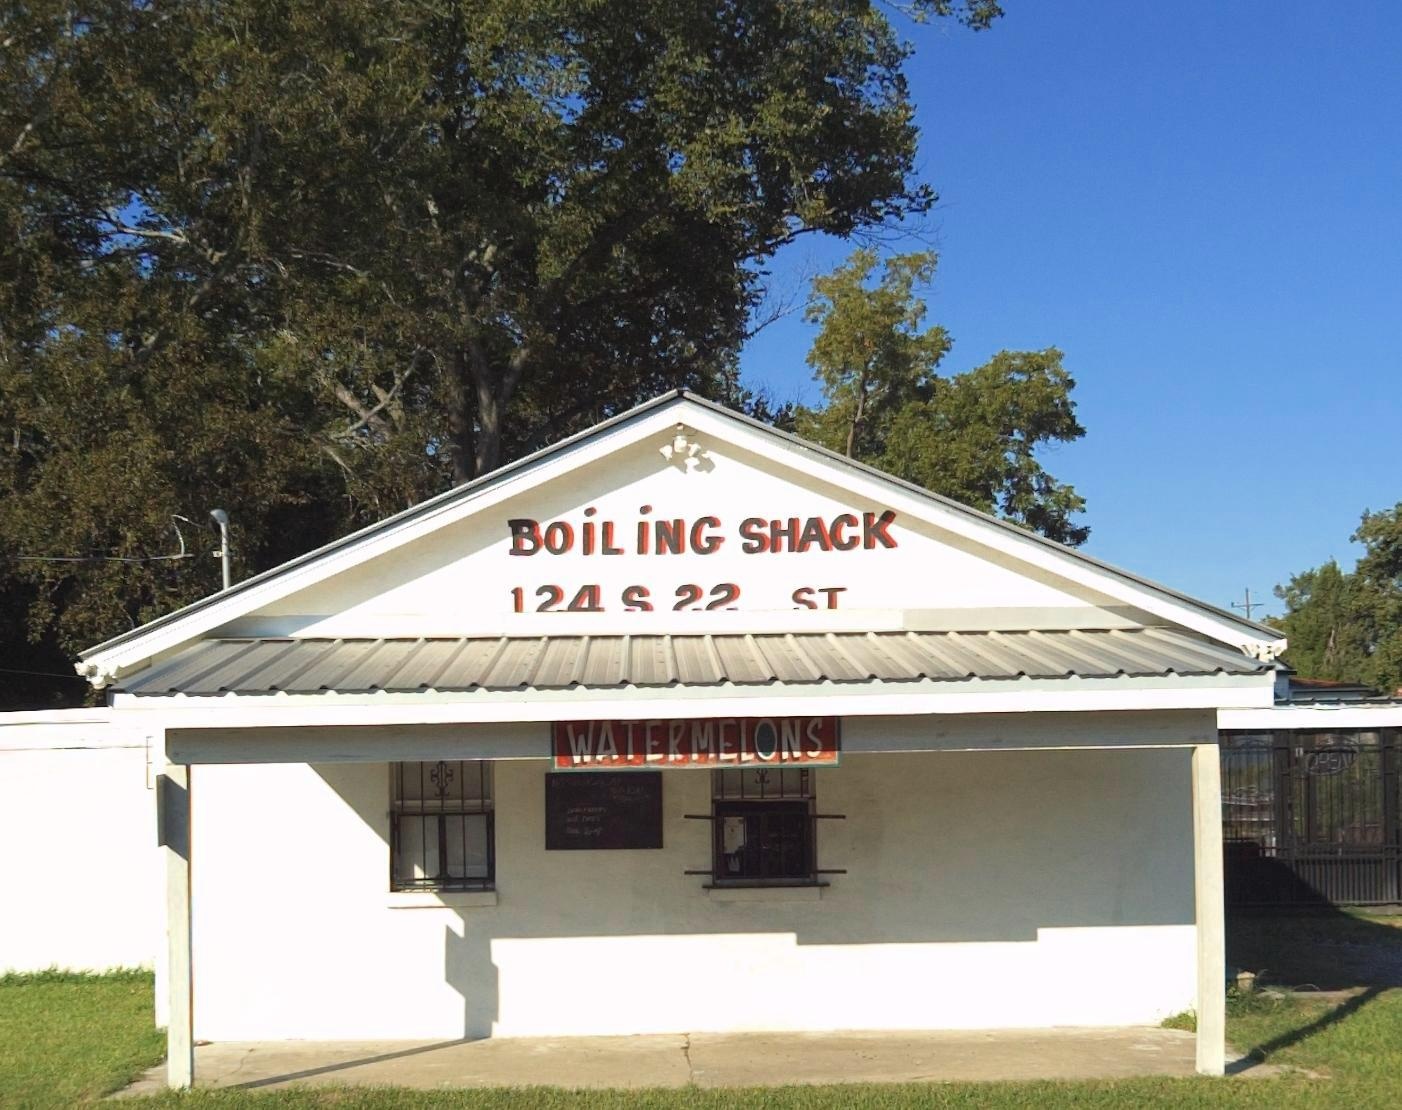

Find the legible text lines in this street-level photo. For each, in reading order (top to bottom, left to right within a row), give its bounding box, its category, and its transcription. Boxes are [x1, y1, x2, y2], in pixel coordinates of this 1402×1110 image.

[504, 502, 902, 558] BusinessName: BOiLiNG SHACK
[562, 715, 828, 768] None: WATERMELONS
[1302, 751, 1353, 771] None: OPEN